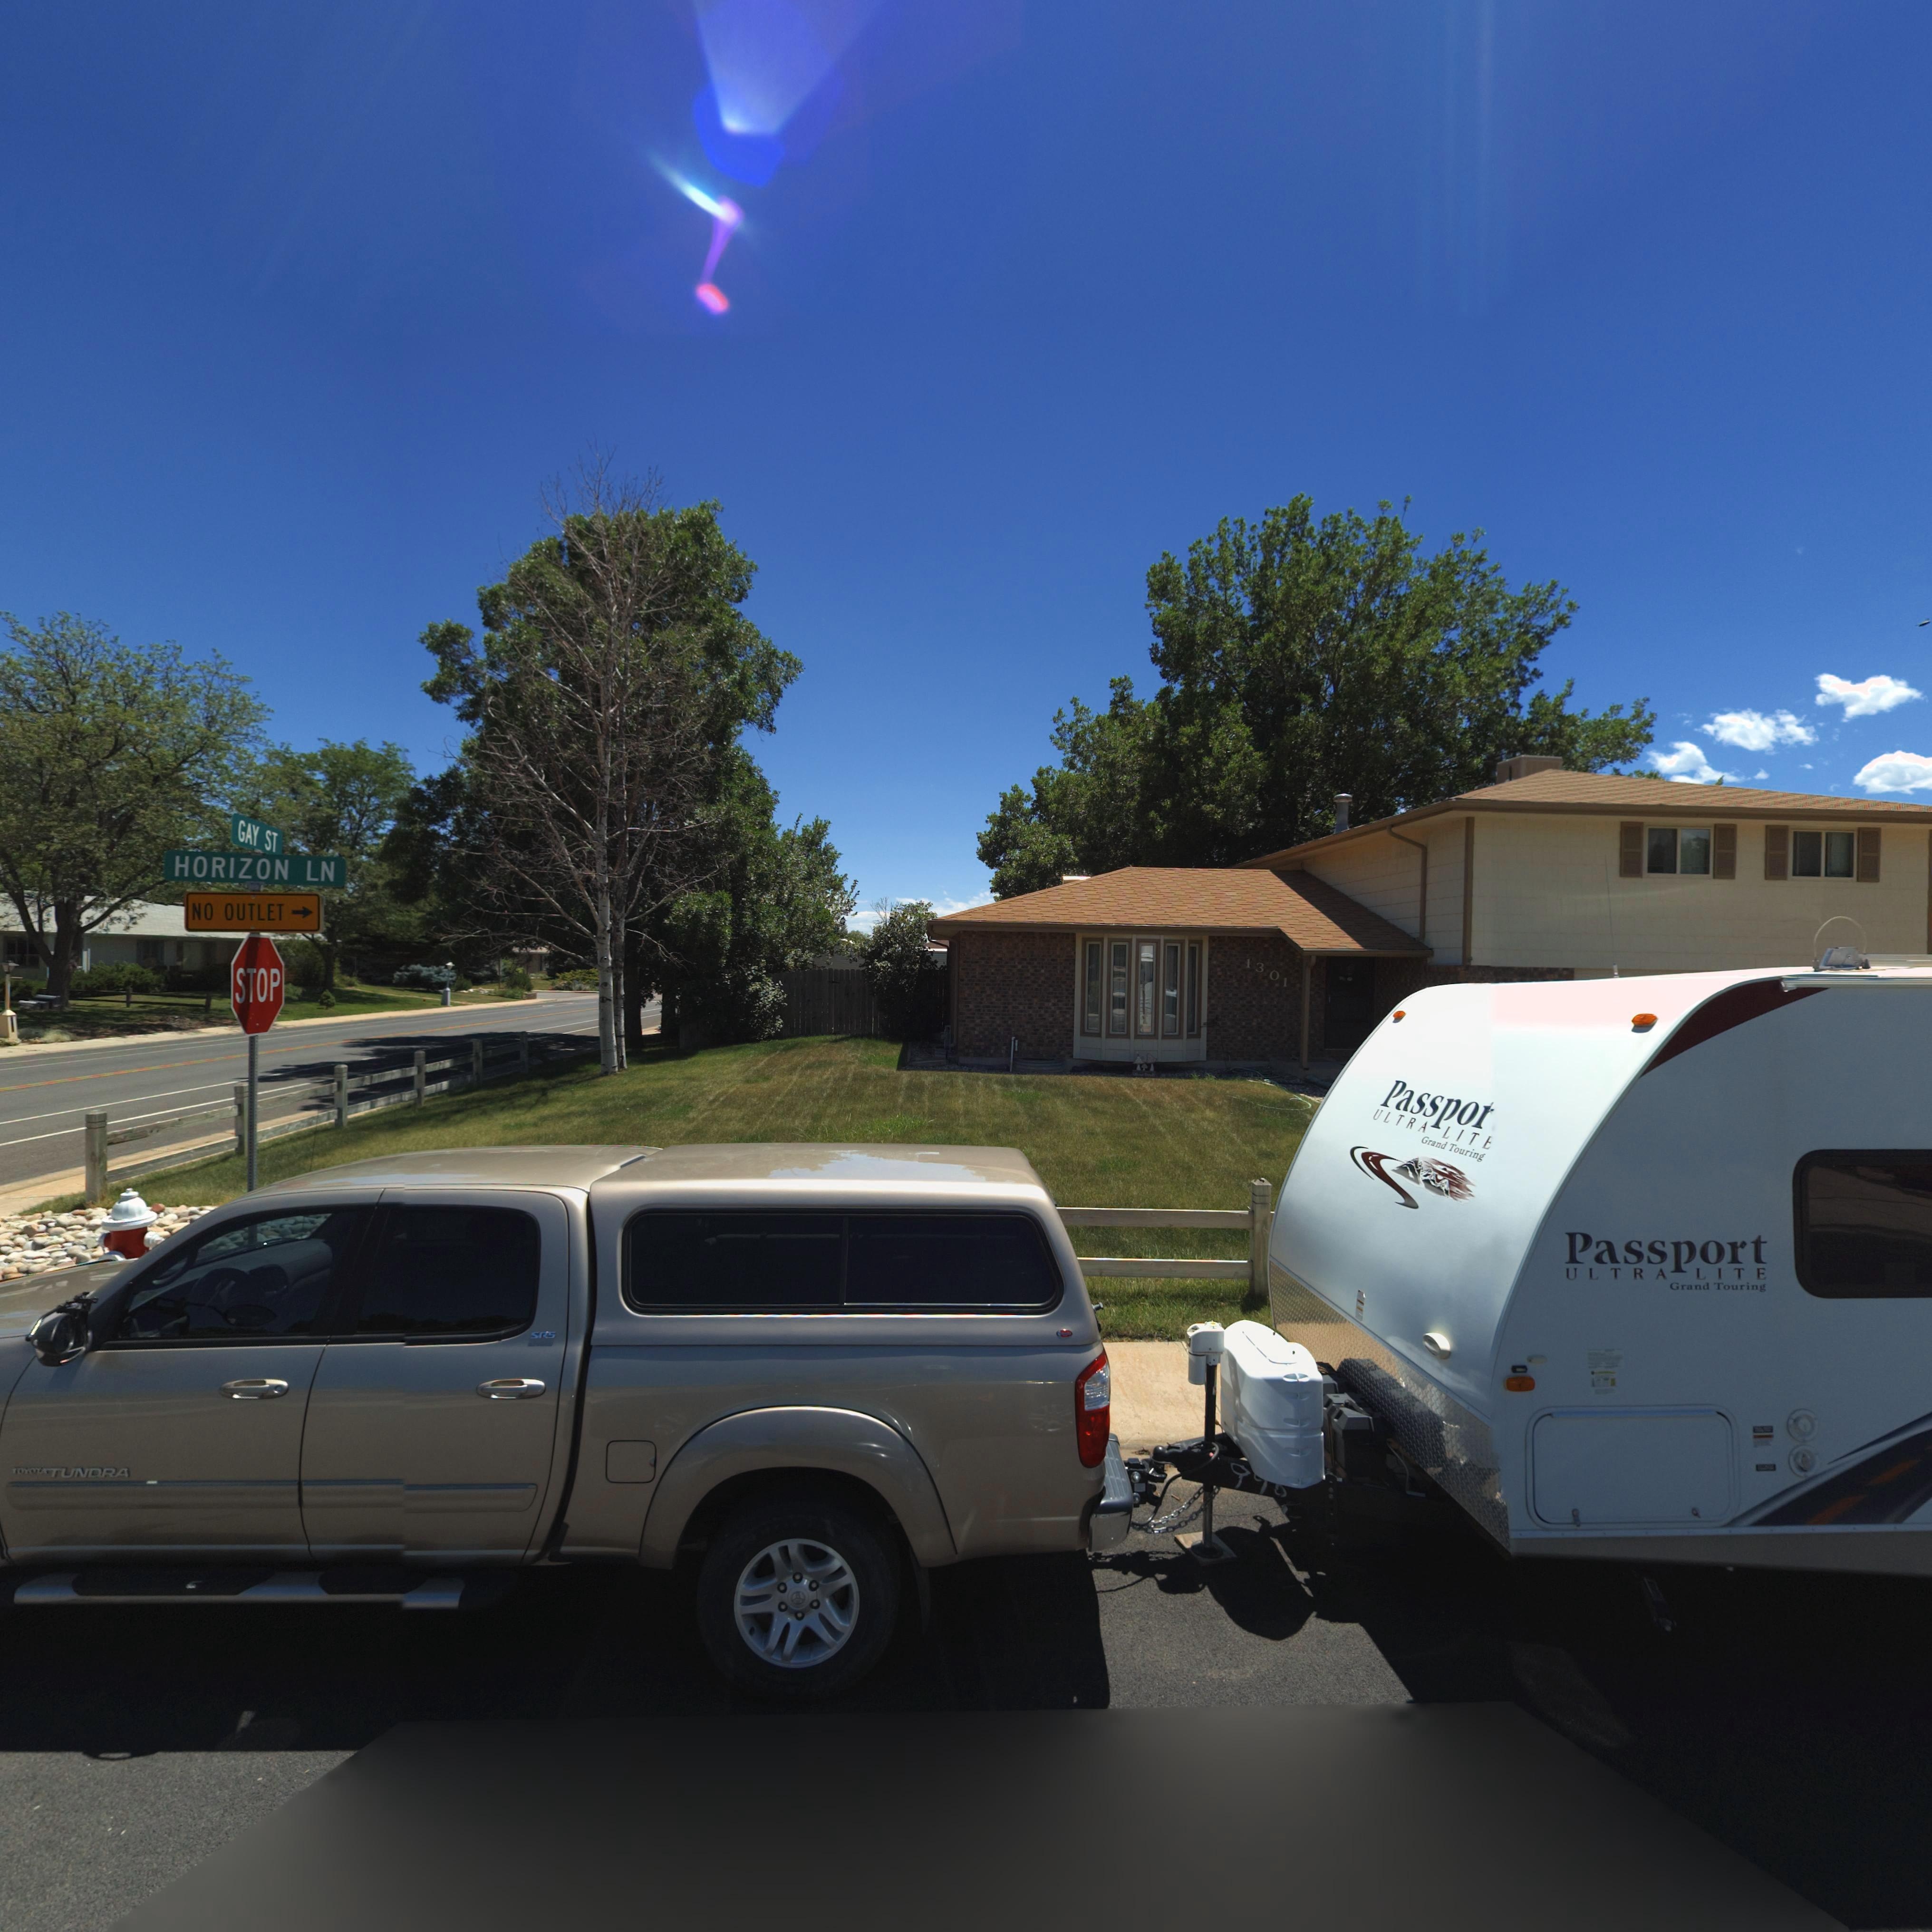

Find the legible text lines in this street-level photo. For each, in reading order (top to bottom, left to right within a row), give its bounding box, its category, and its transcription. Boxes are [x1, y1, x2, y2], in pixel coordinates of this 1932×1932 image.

[238, 819, 278, 853] StreetName: GAY ST
[174, 855, 335, 881] StreetName: HORIZON LN
[1246, 956, 1287, 987] StreetNumber: 1301